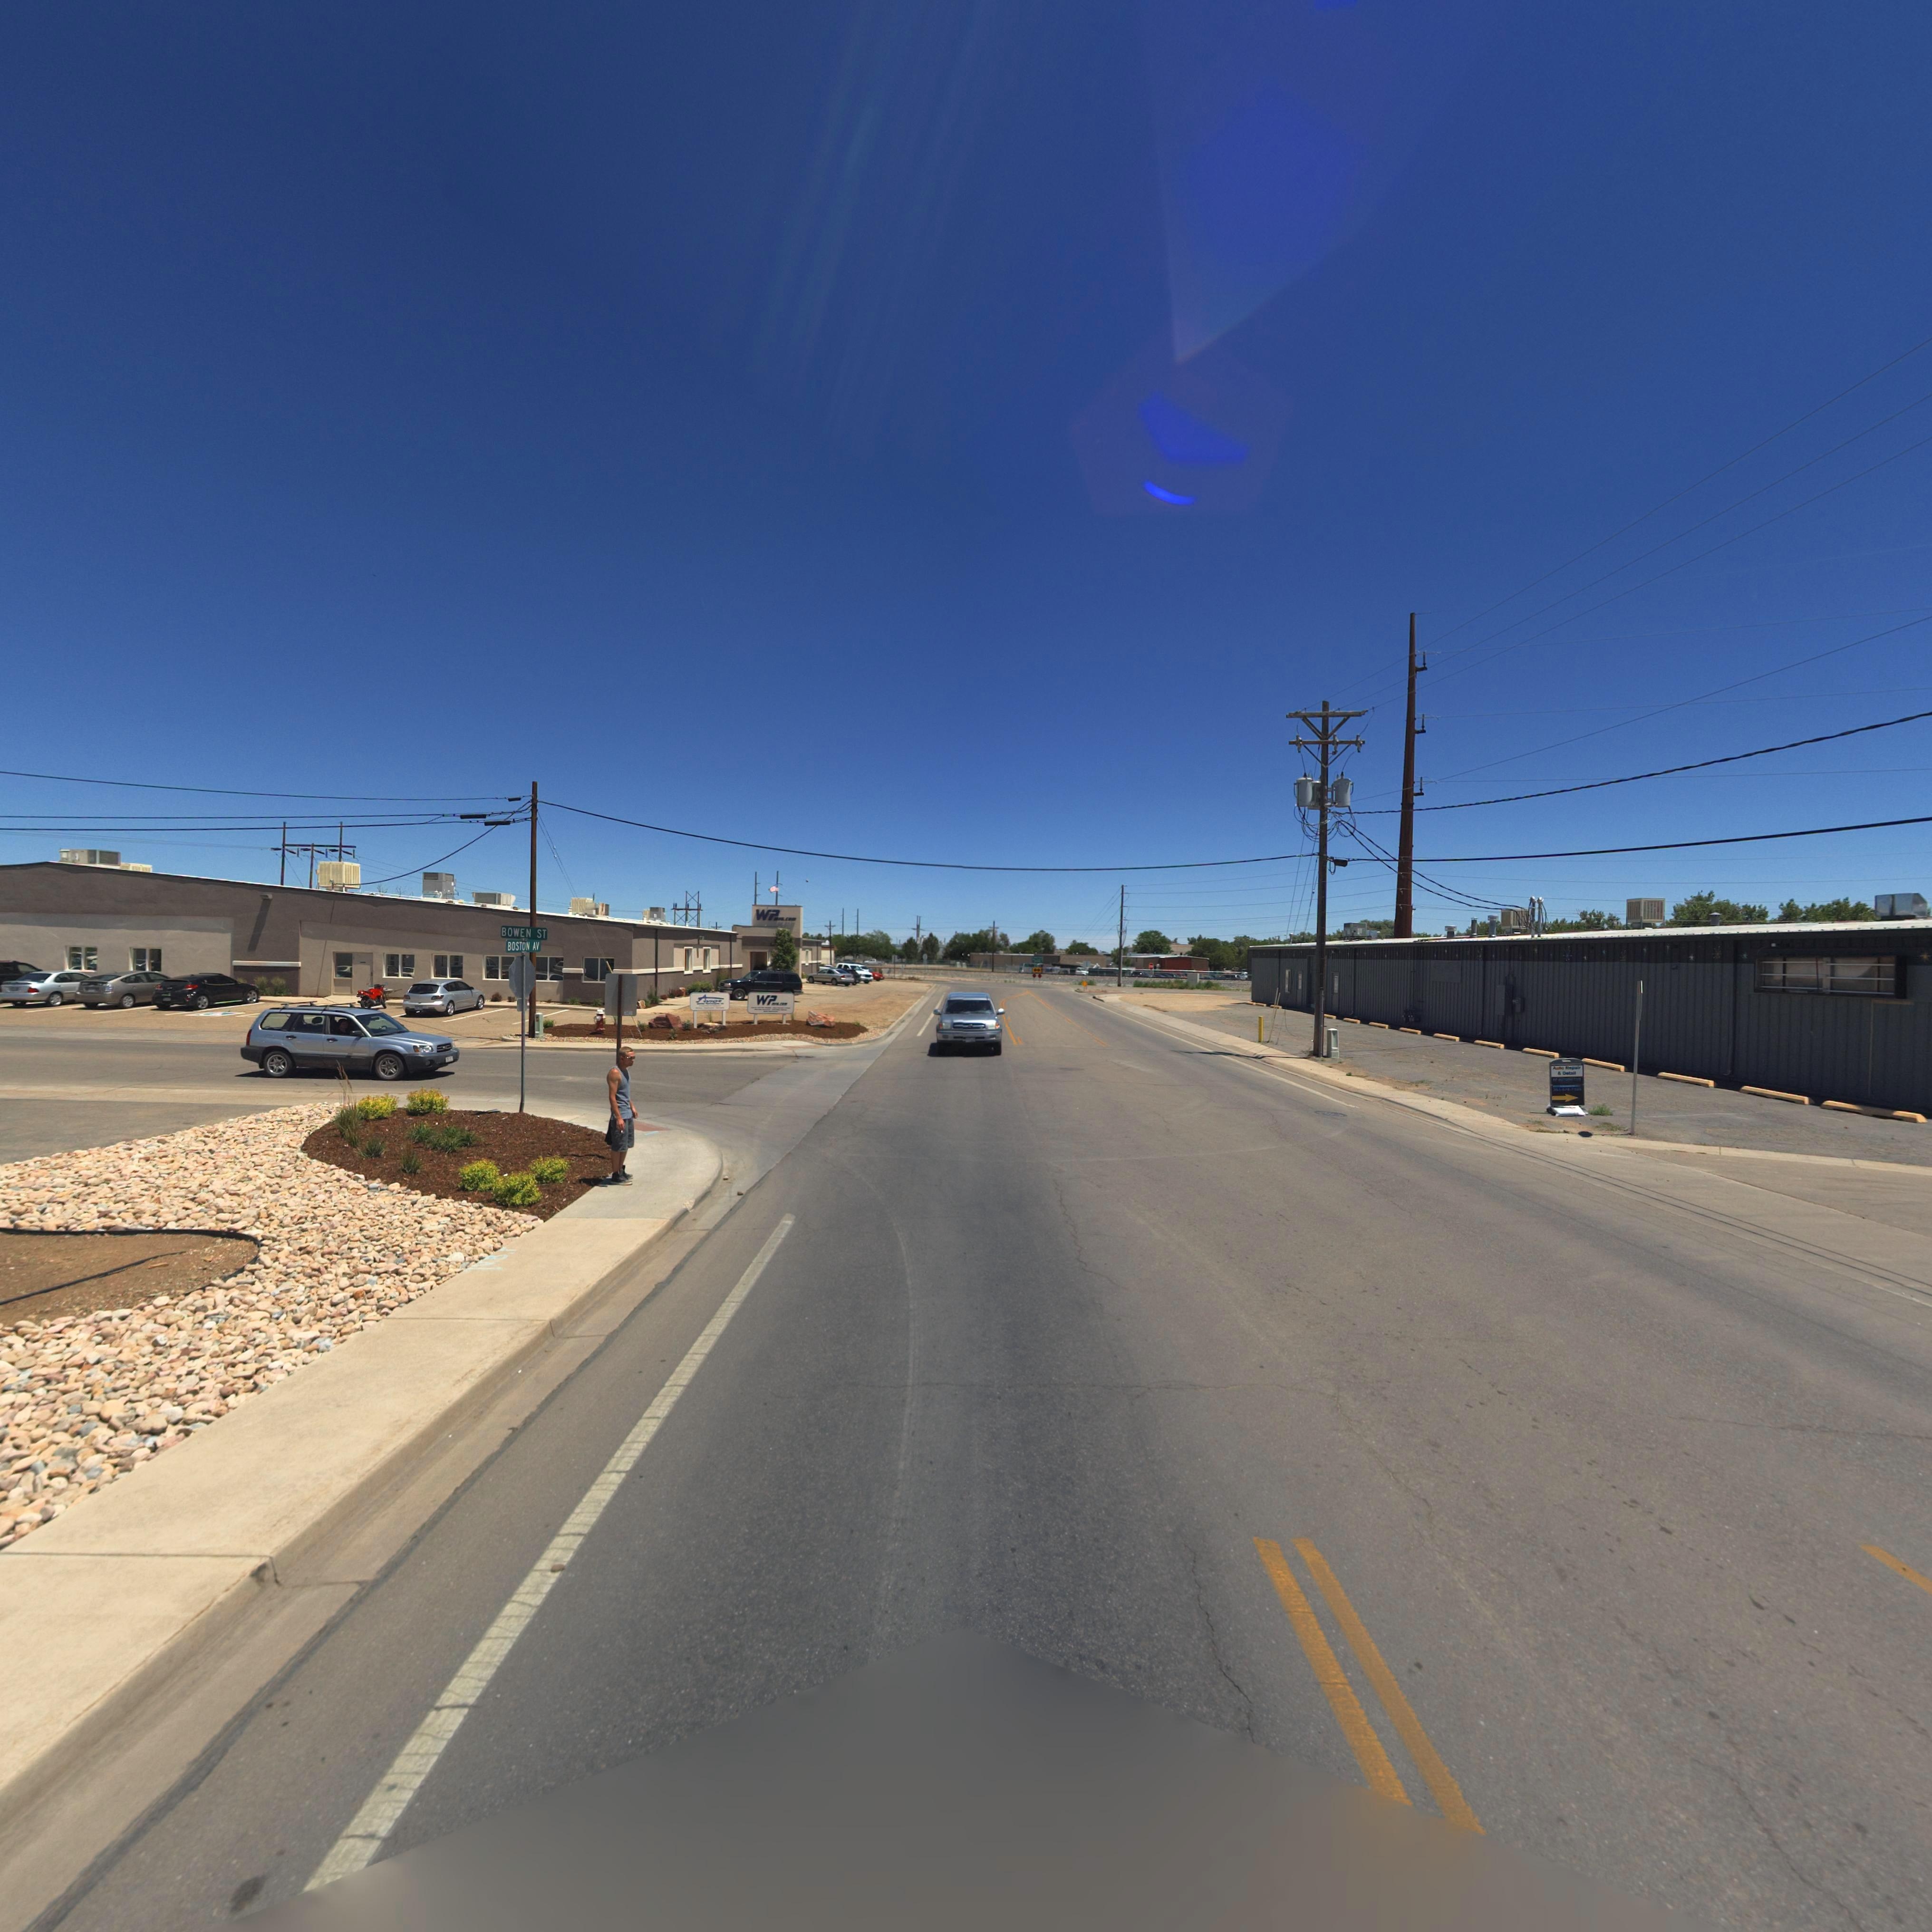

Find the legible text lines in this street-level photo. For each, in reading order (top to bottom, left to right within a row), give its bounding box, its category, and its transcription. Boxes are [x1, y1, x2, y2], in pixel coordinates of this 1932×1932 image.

[755, 909, 780, 921] BusinessName: WP
[773, 917, 796, 921] BusinessName: MFG.COM
[501, 927, 546, 939] StreetName: BOWEN ST
[507, 941, 540, 951] StreetName: BOSTON AV
[695, 993, 724, 1003] BusinessName: Avio*
[756, 995, 778, 1006] BusinessName: WP
[771, 1002, 788, 1006] BusinessName: MFG.COM